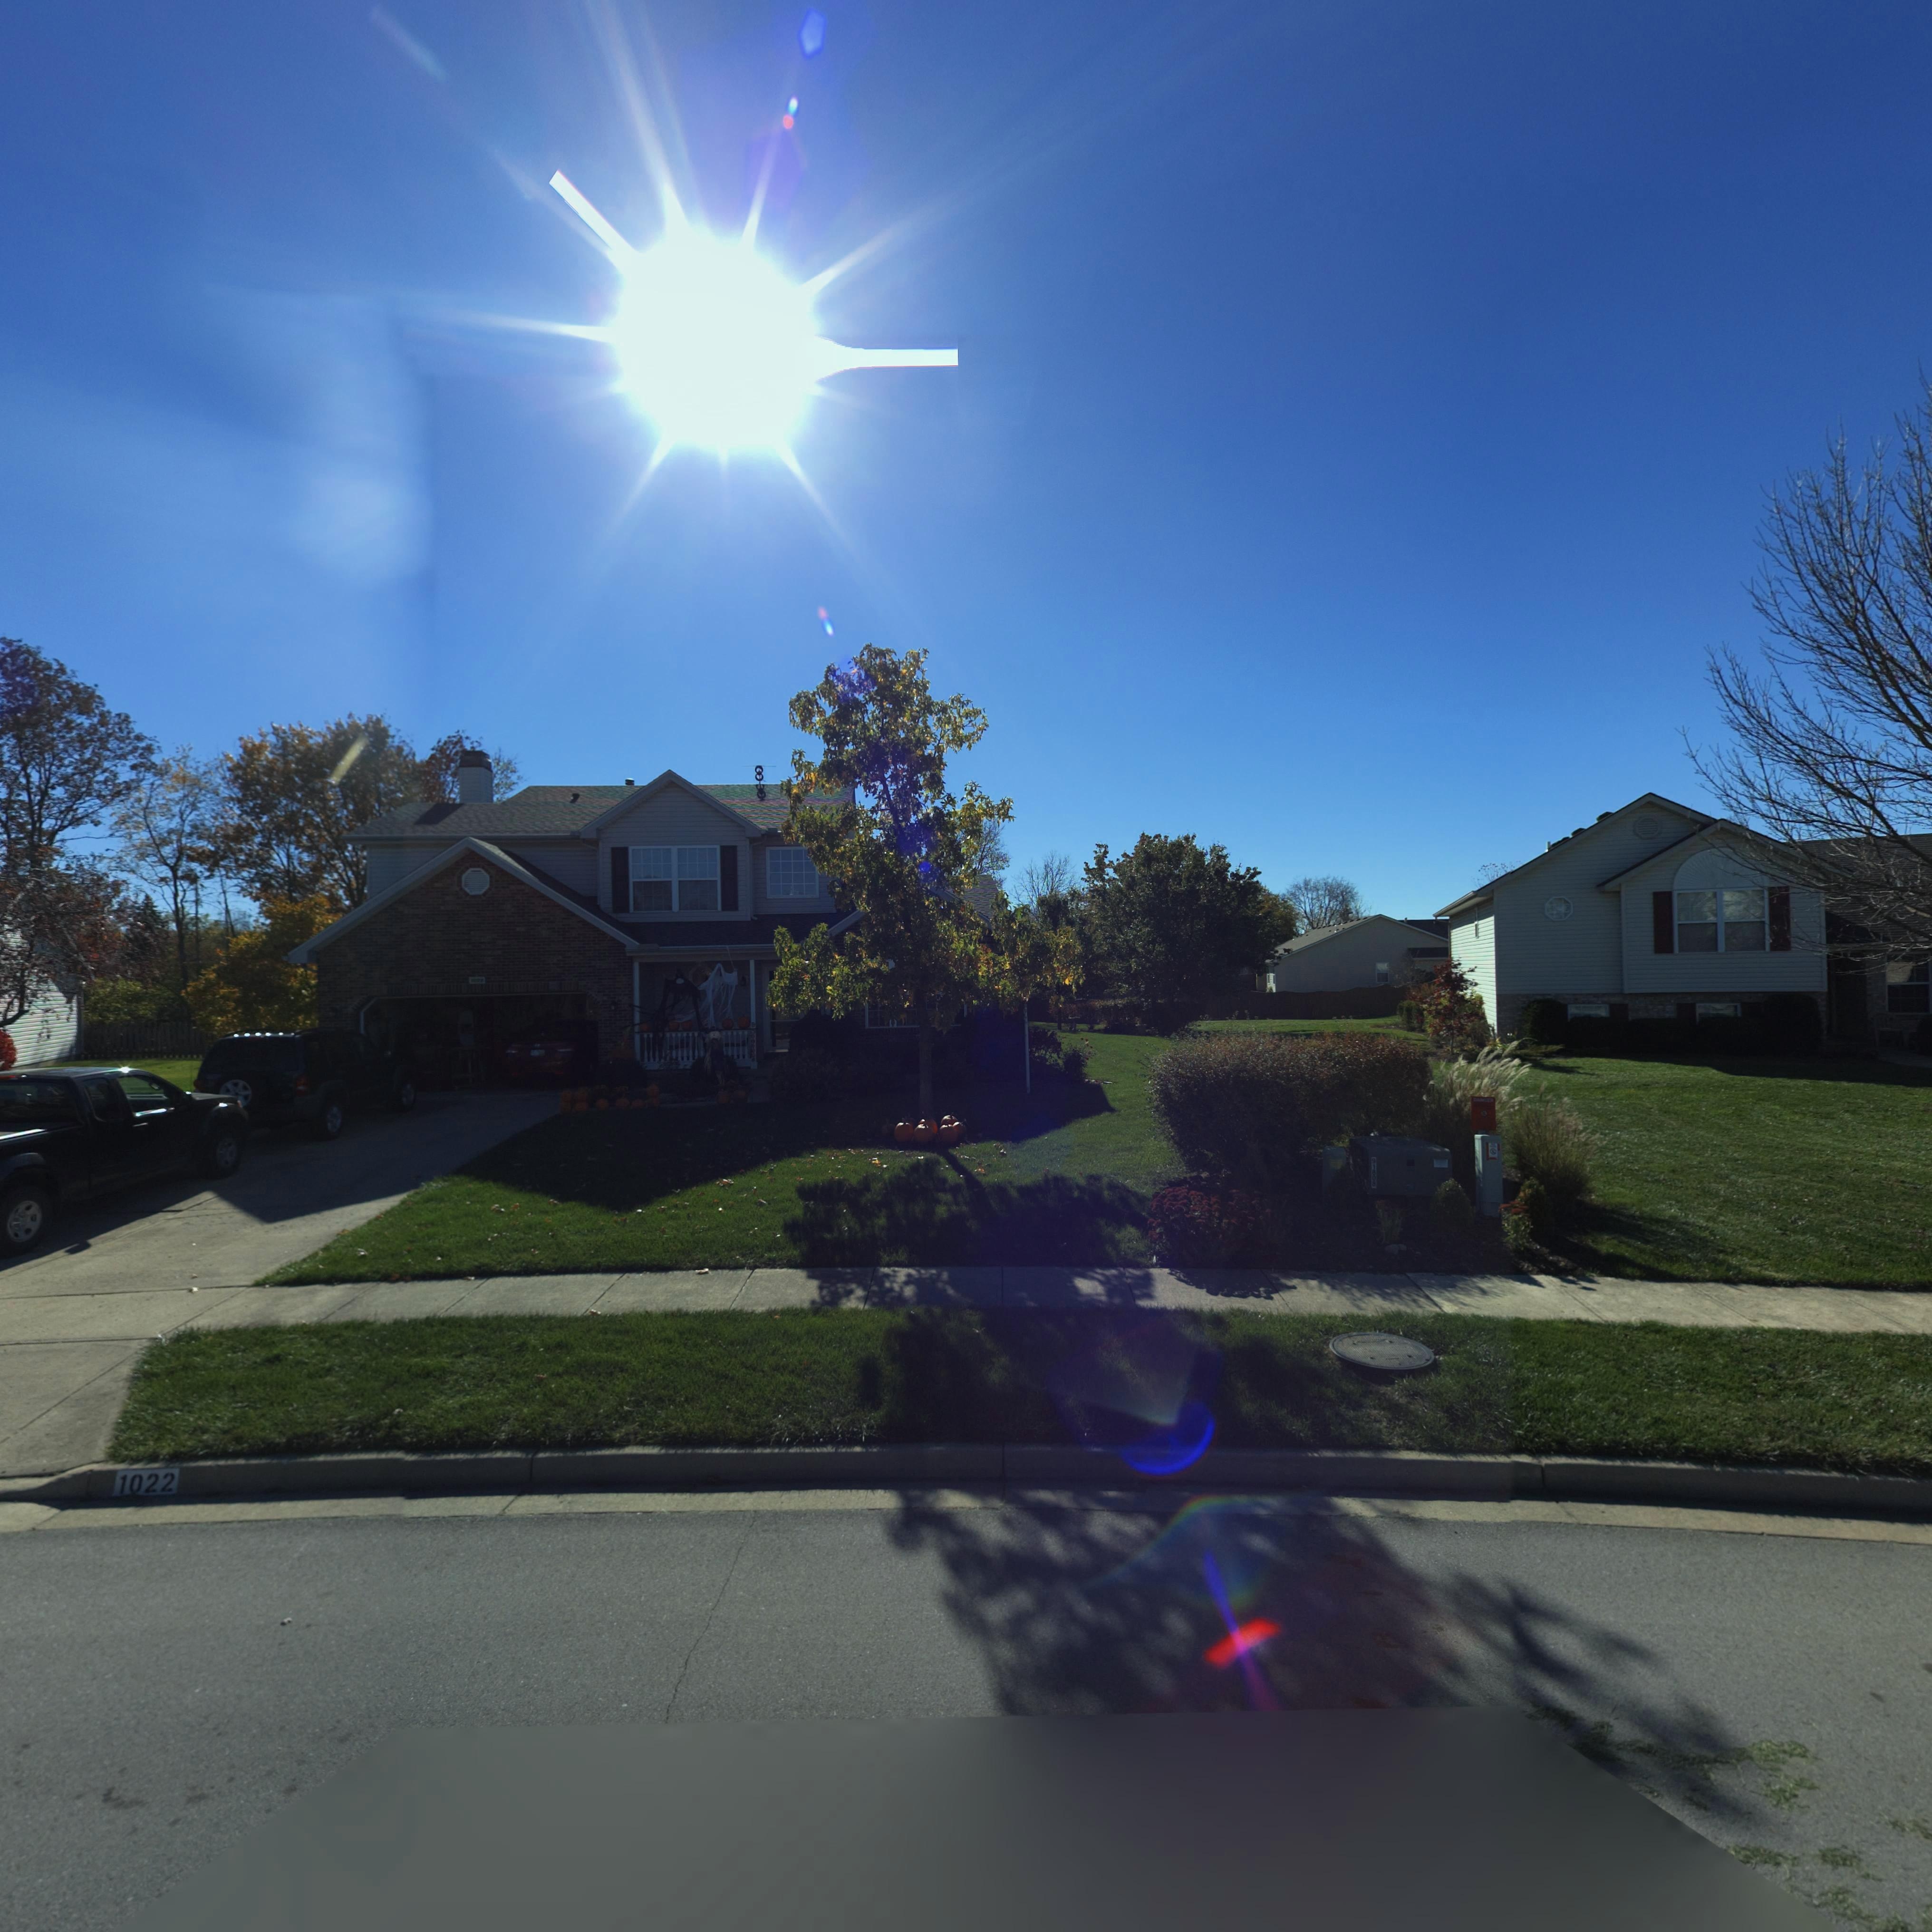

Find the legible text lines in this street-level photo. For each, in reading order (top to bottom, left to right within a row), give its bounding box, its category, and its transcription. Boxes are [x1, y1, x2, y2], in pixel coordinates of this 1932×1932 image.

[118, 1470, 177, 1497] StreetNumber: 1022